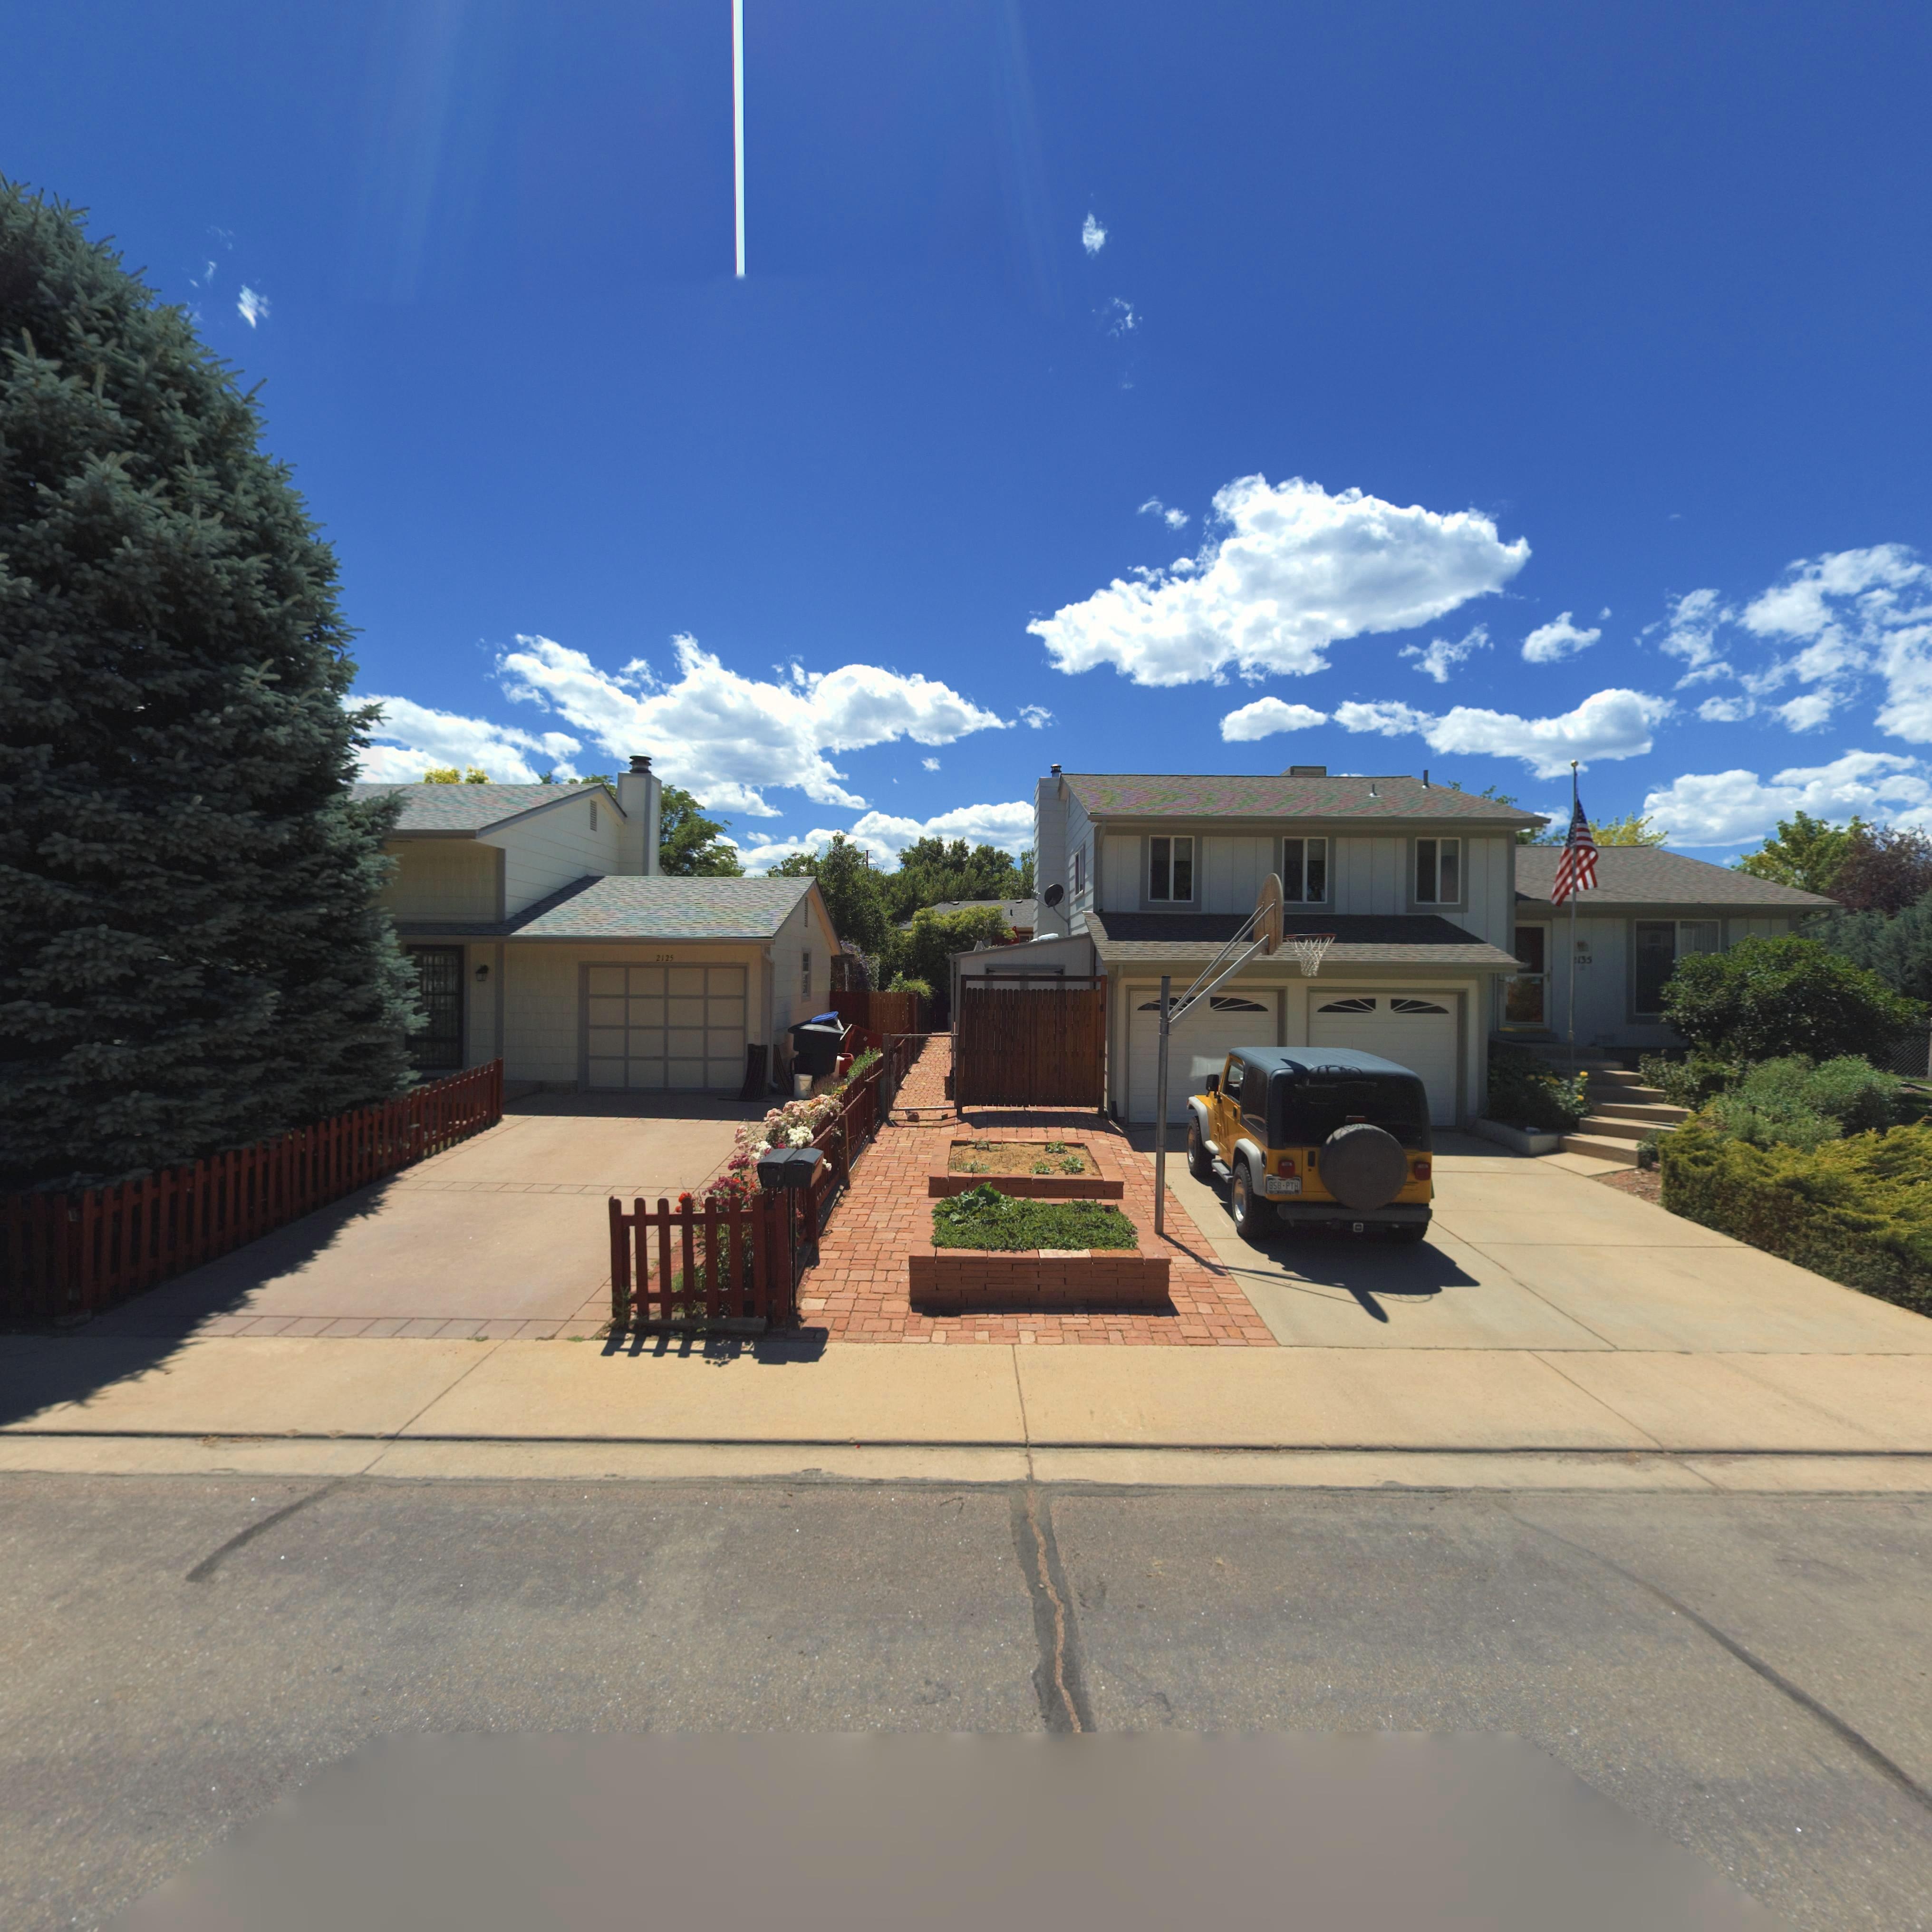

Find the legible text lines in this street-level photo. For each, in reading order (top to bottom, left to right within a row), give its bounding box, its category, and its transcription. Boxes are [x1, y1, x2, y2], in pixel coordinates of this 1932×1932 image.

[656, 954, 674, 961] StreetNumber: 2125
[1573, 955, 1593, 964] StreetNumber: *135